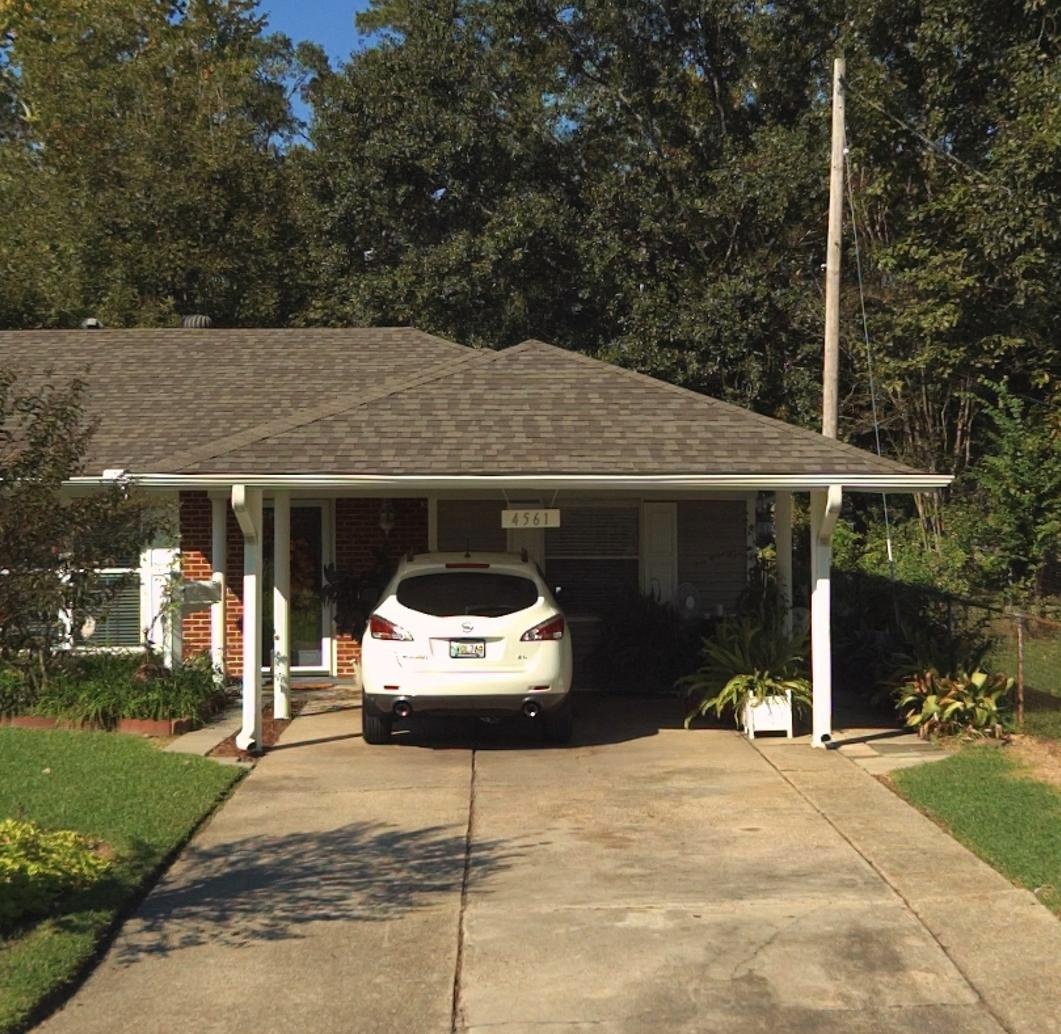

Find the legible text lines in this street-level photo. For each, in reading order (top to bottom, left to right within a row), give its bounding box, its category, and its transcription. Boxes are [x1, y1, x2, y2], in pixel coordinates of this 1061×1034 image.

[511, 511, 549, 527] StreetNumber: 4561